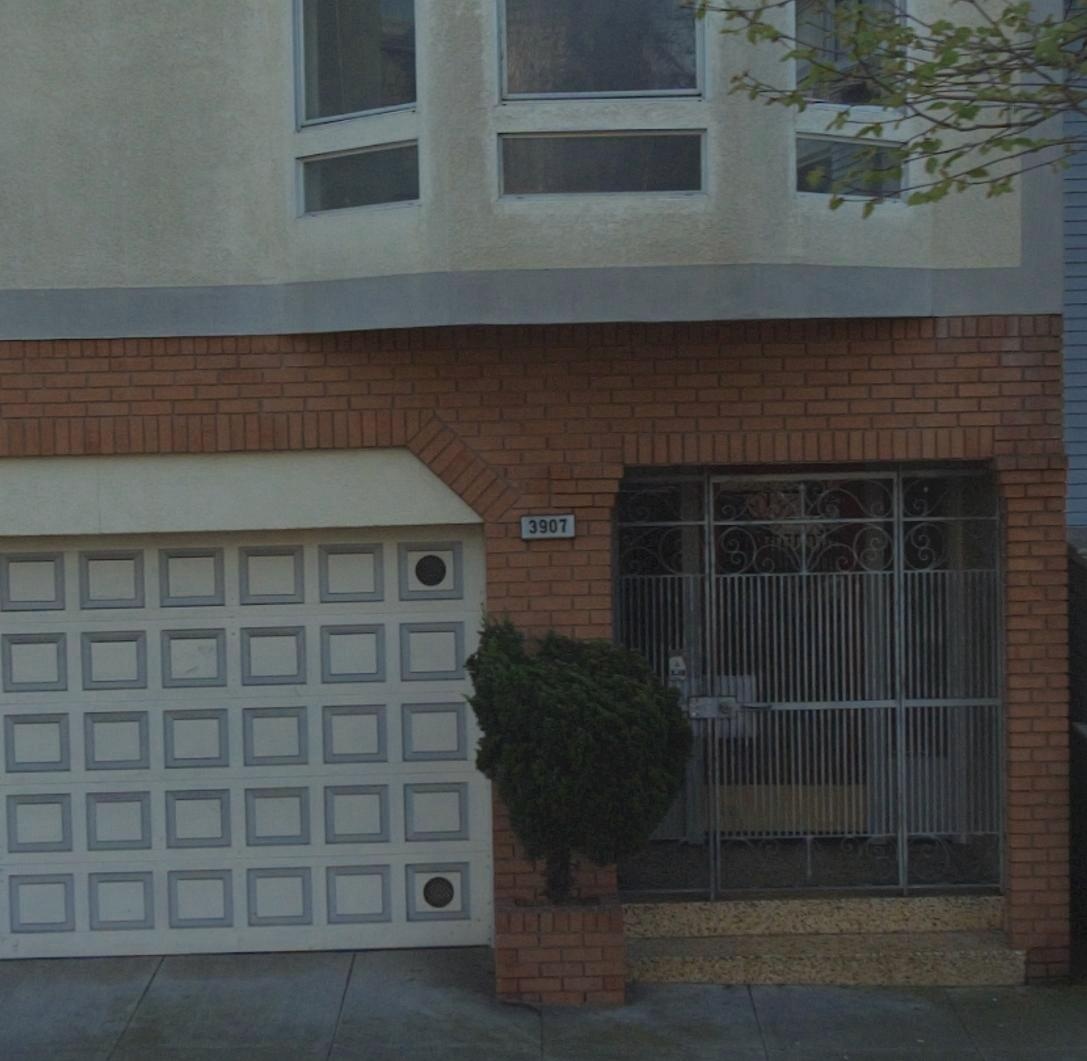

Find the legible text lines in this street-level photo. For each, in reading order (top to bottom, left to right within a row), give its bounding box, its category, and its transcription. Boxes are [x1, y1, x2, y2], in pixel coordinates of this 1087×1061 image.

[526, 516, 570, 536] StreetNumber: 3907